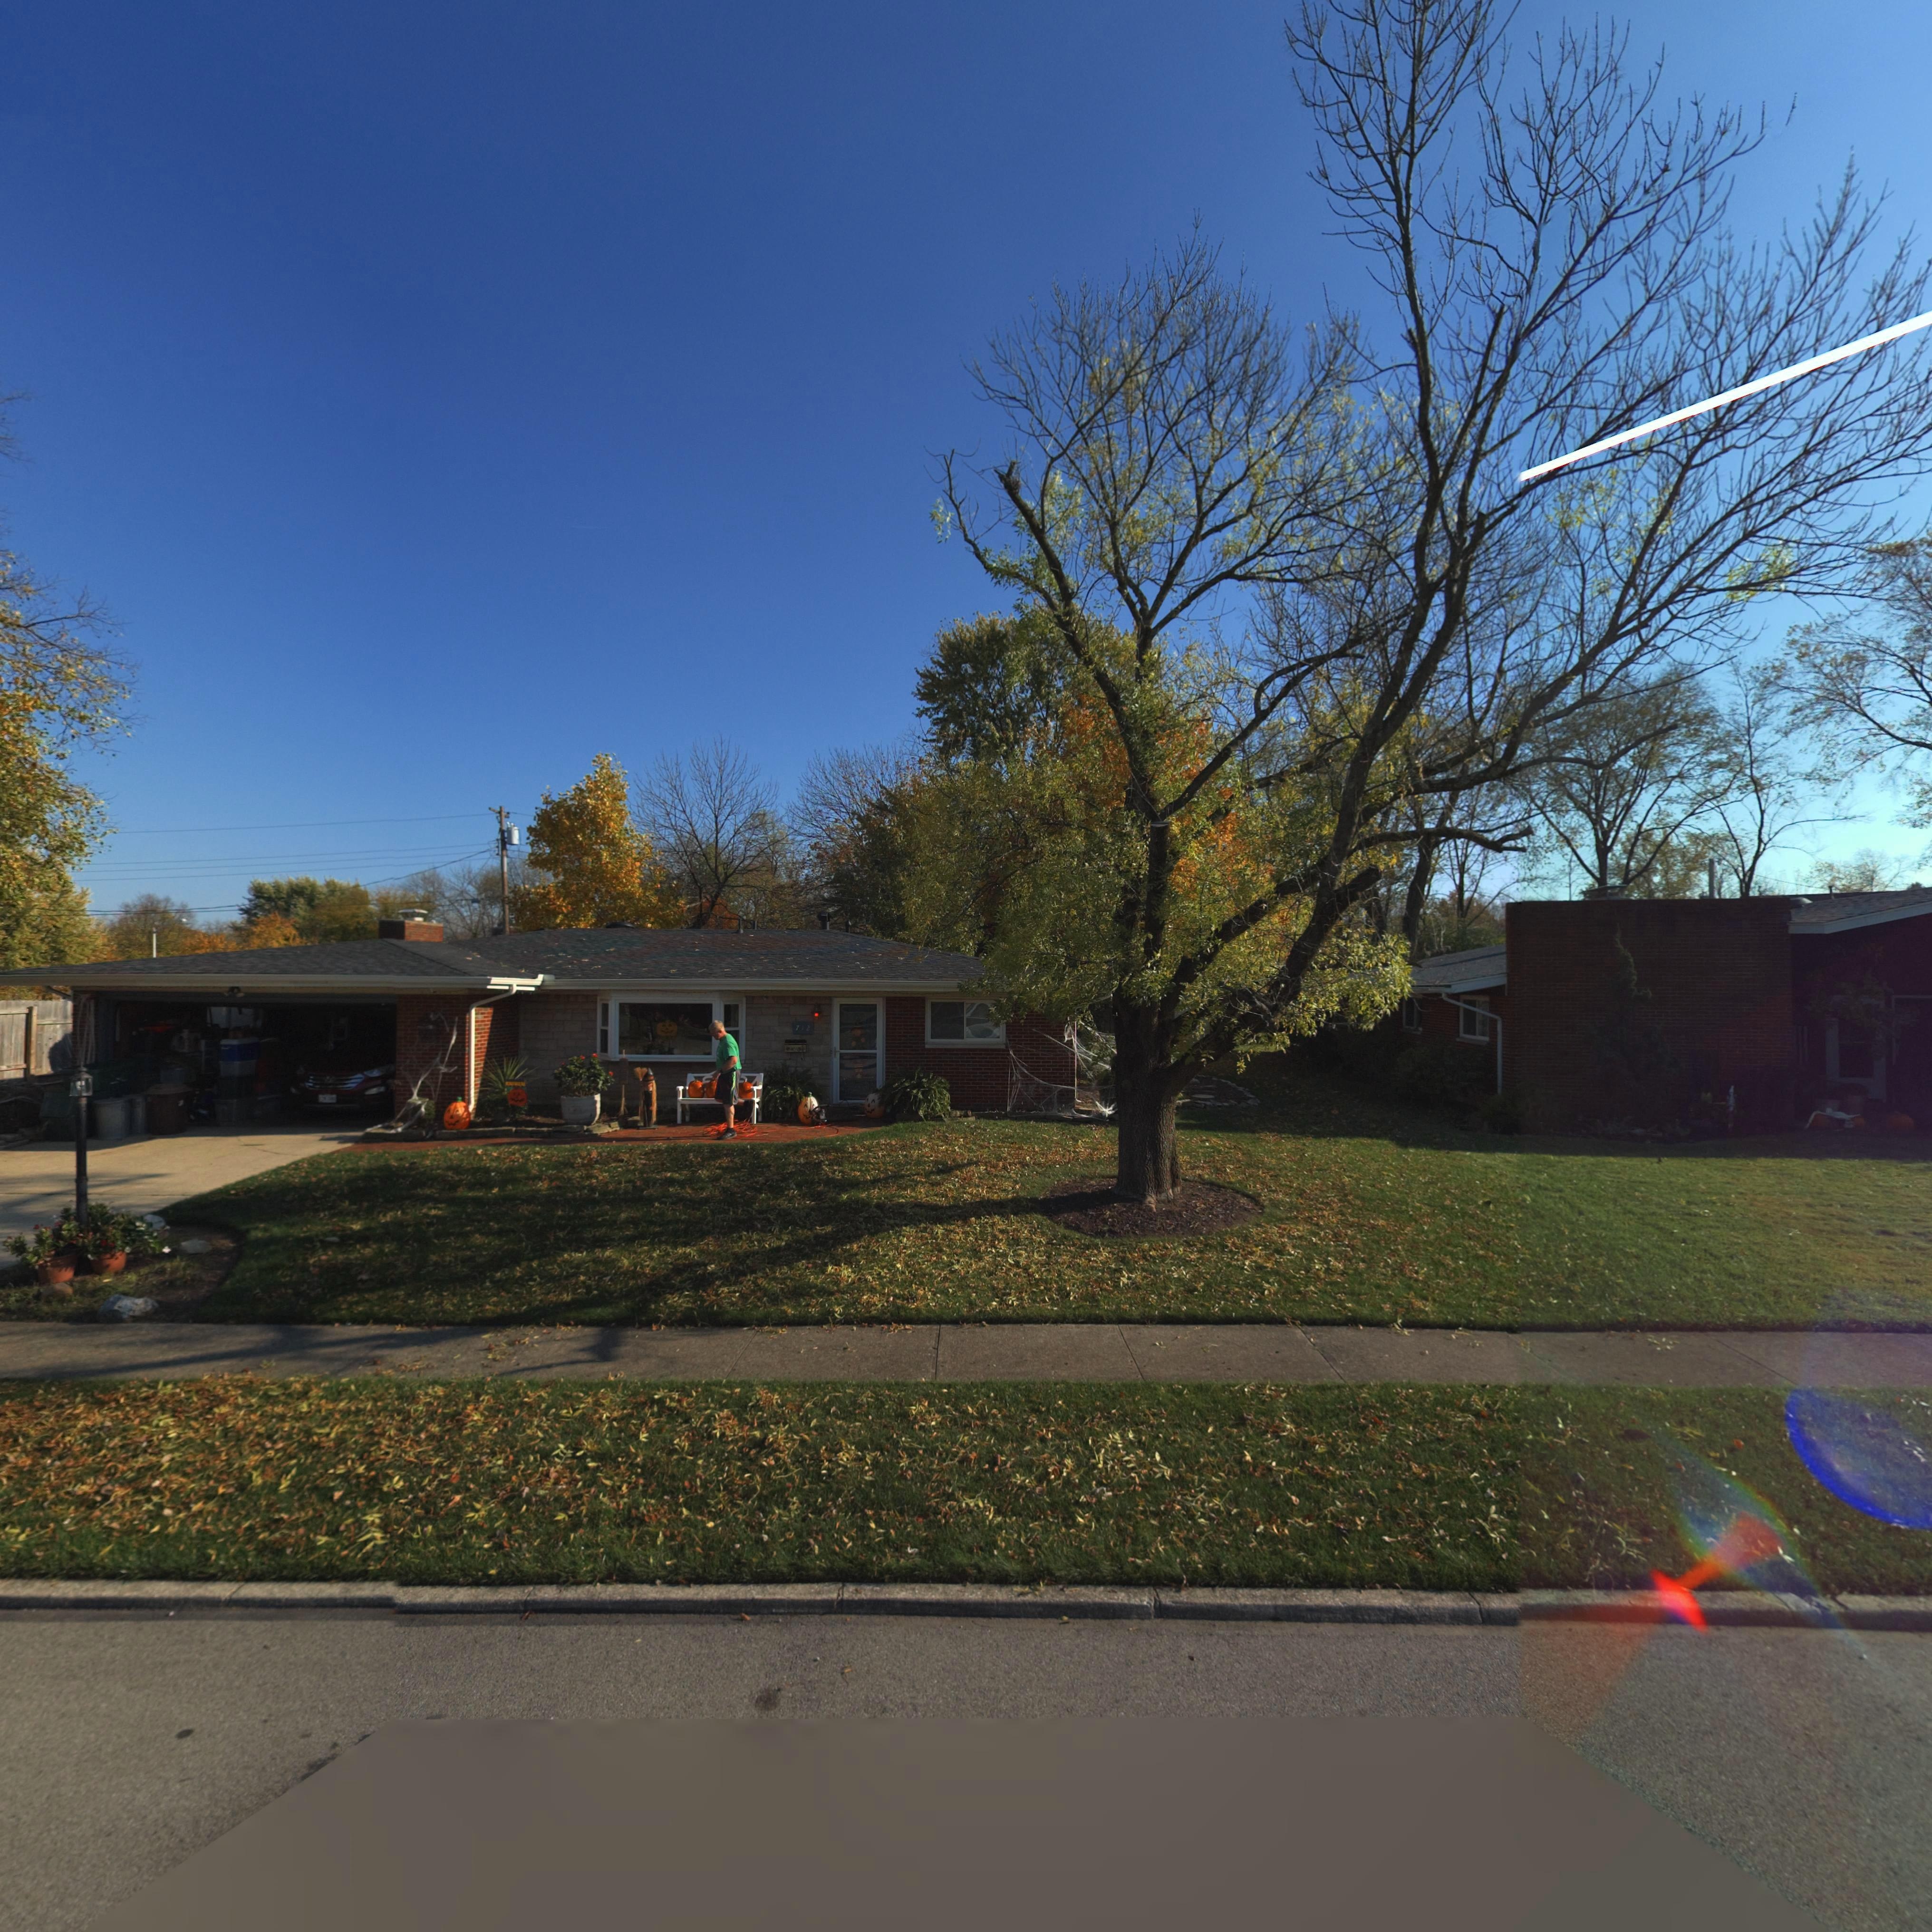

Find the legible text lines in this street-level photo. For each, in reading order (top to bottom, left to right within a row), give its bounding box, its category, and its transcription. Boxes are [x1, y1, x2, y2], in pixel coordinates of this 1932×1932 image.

[794, 1024, 811, 1032] StreetNumber: 712